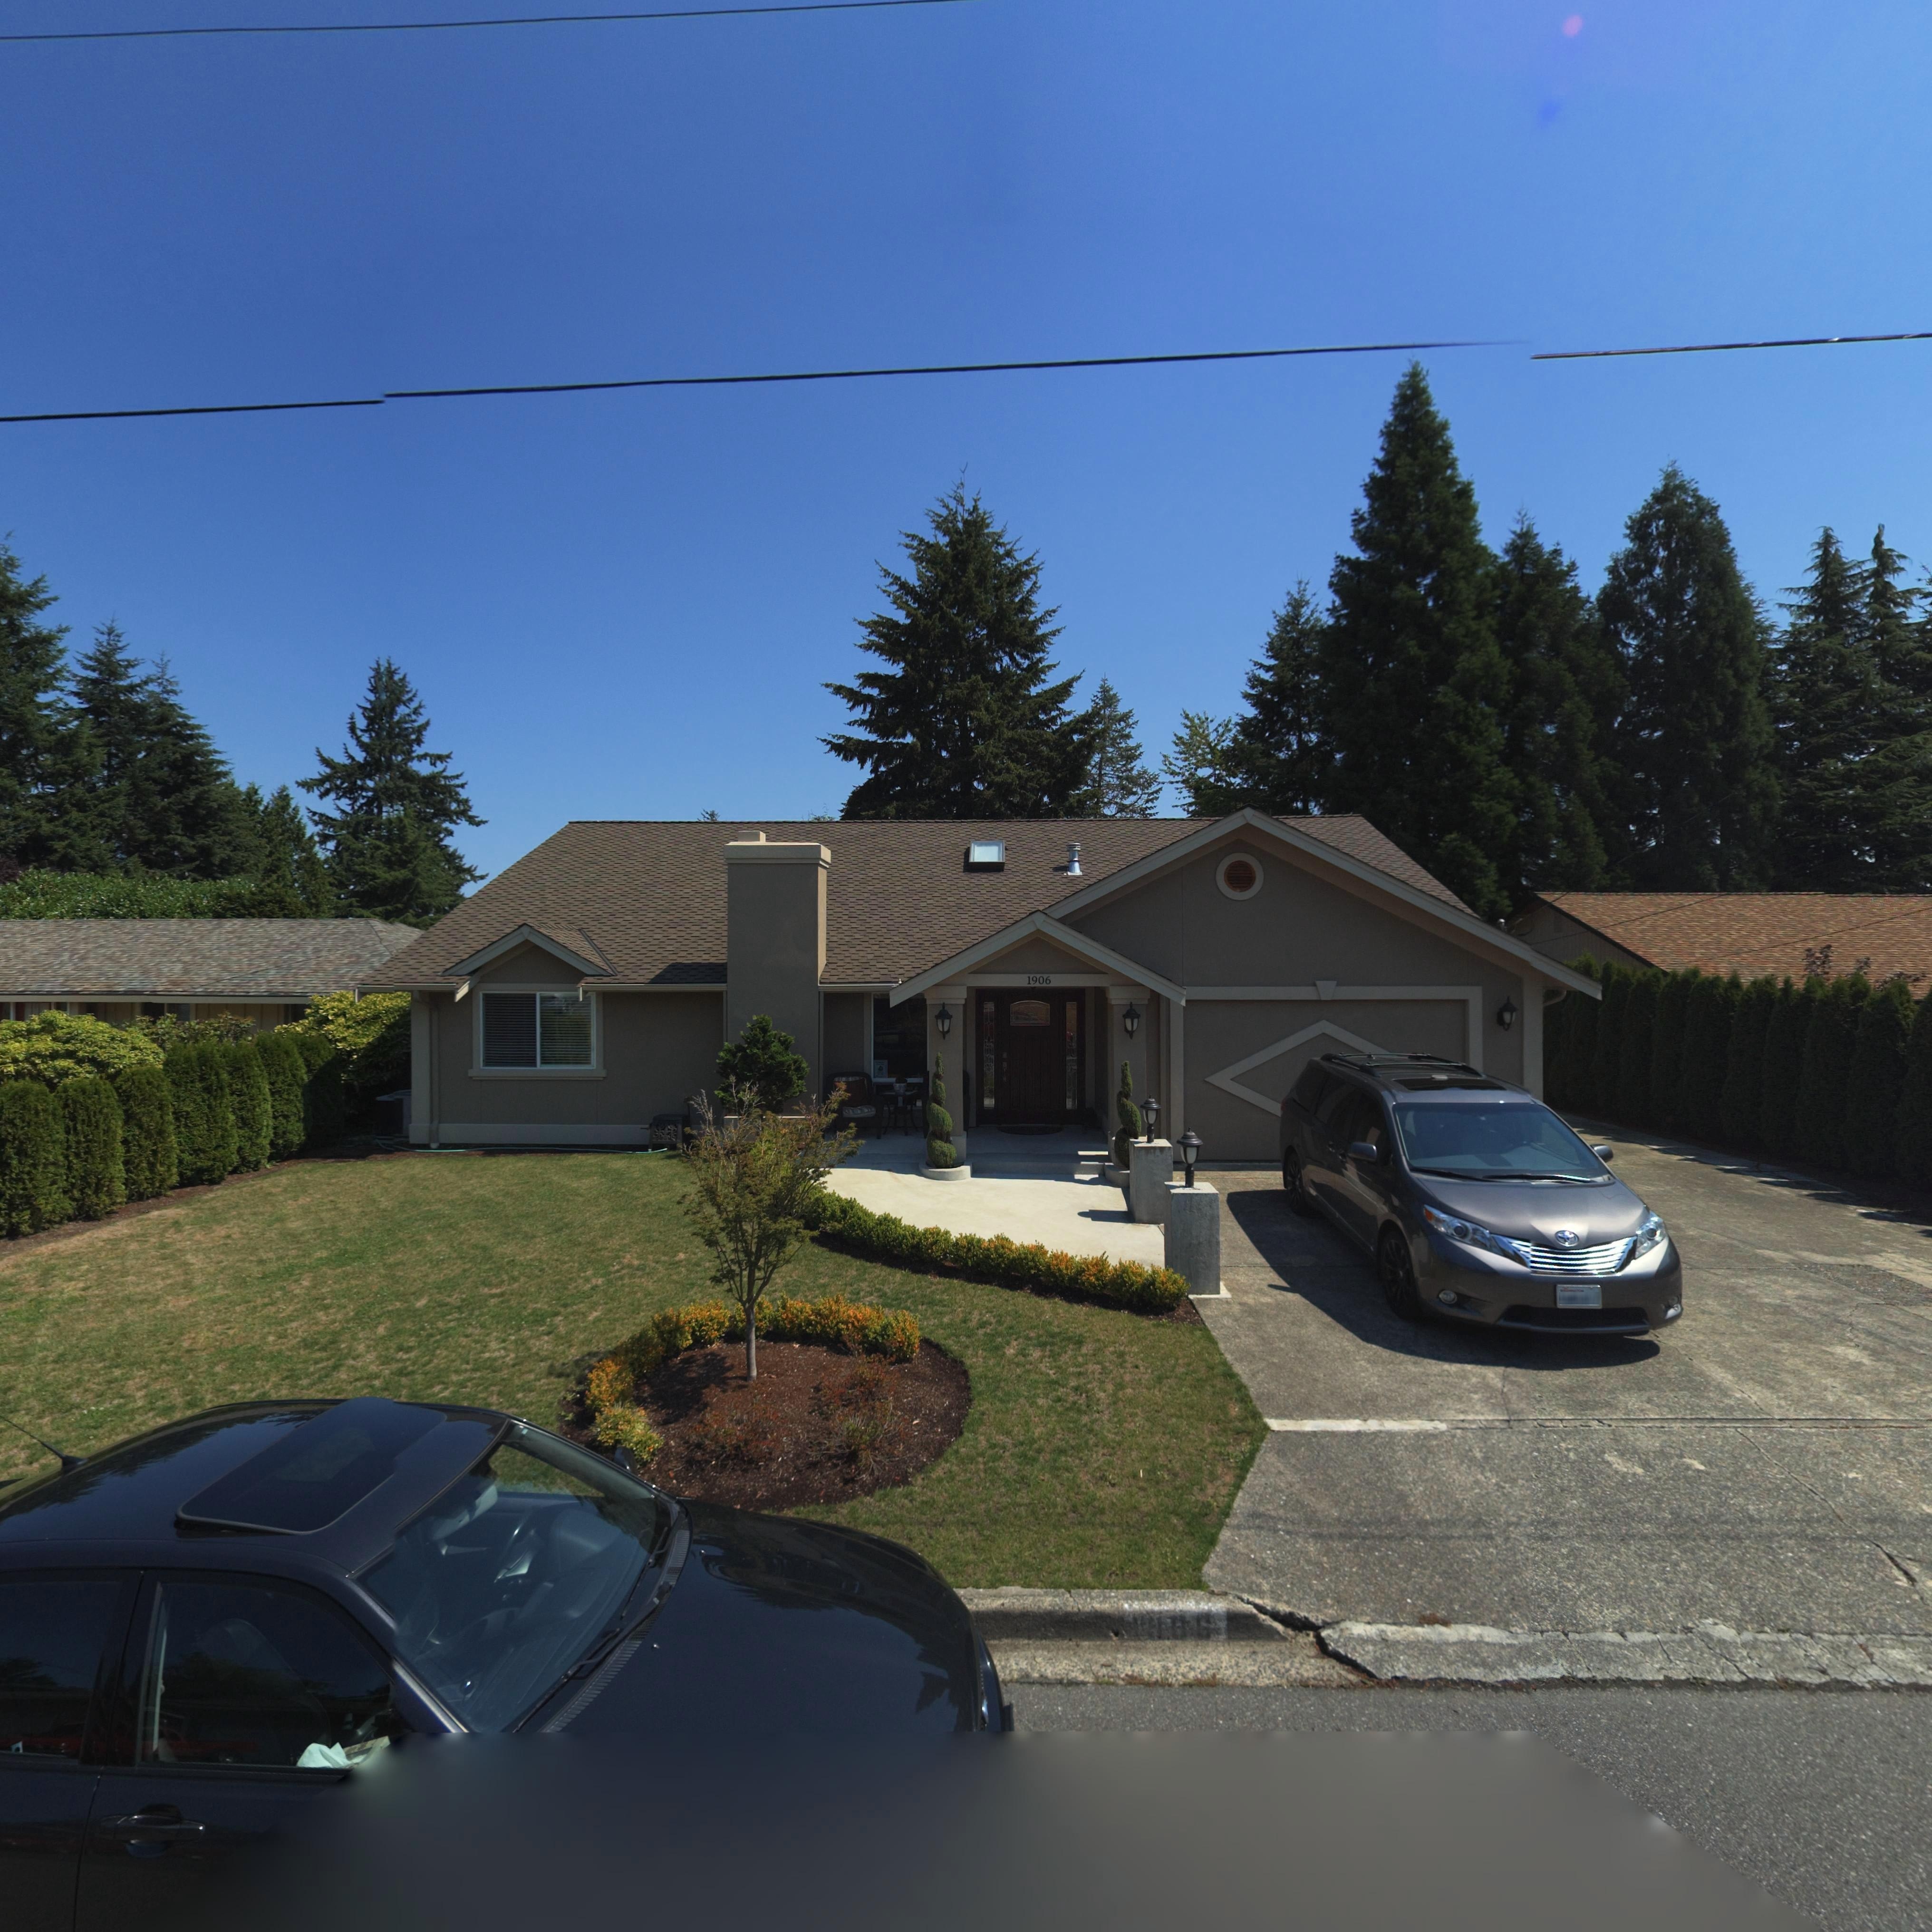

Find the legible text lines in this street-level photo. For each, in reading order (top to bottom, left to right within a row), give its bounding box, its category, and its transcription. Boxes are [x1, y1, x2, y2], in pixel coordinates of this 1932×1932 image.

[1027, 976, 1051, 984] StreetNumber: 1906